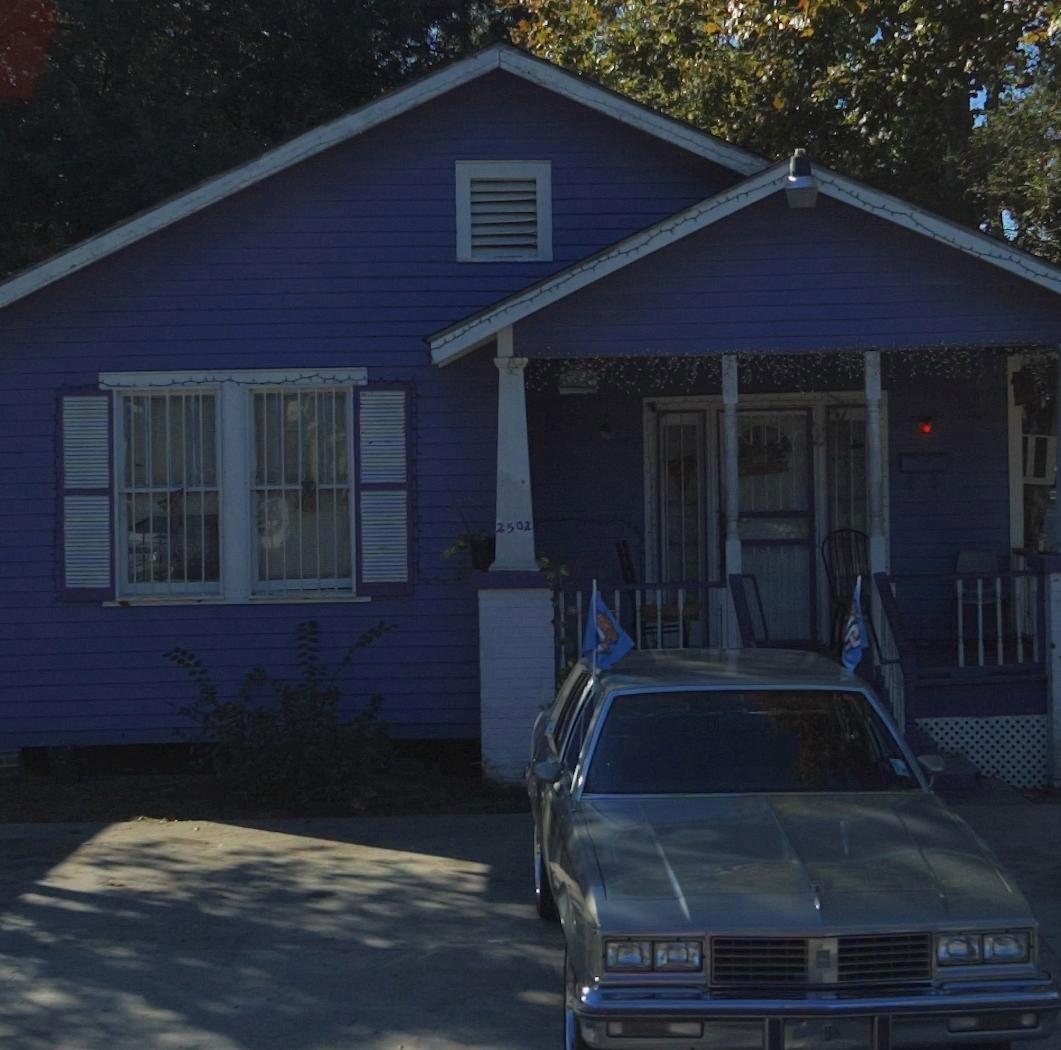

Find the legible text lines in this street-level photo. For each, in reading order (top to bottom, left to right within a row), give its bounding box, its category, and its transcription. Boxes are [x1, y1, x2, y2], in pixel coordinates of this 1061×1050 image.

[494, 519, 534, 536] StreetNumber: 2502